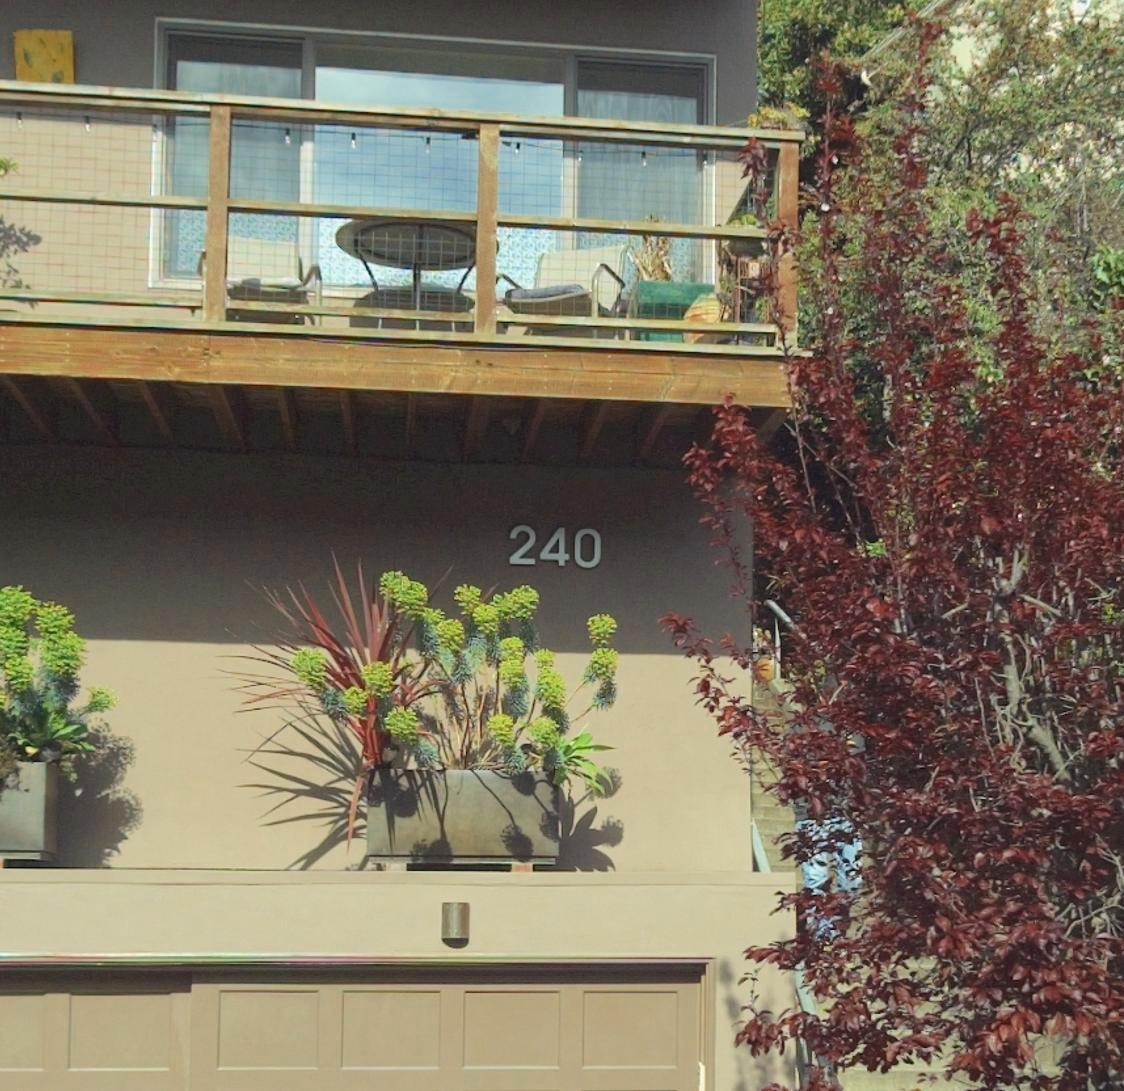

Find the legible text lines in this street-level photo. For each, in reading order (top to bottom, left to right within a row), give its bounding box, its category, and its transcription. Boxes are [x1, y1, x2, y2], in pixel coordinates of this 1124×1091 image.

[507, 523, 603, 571] StreetNumber: 240